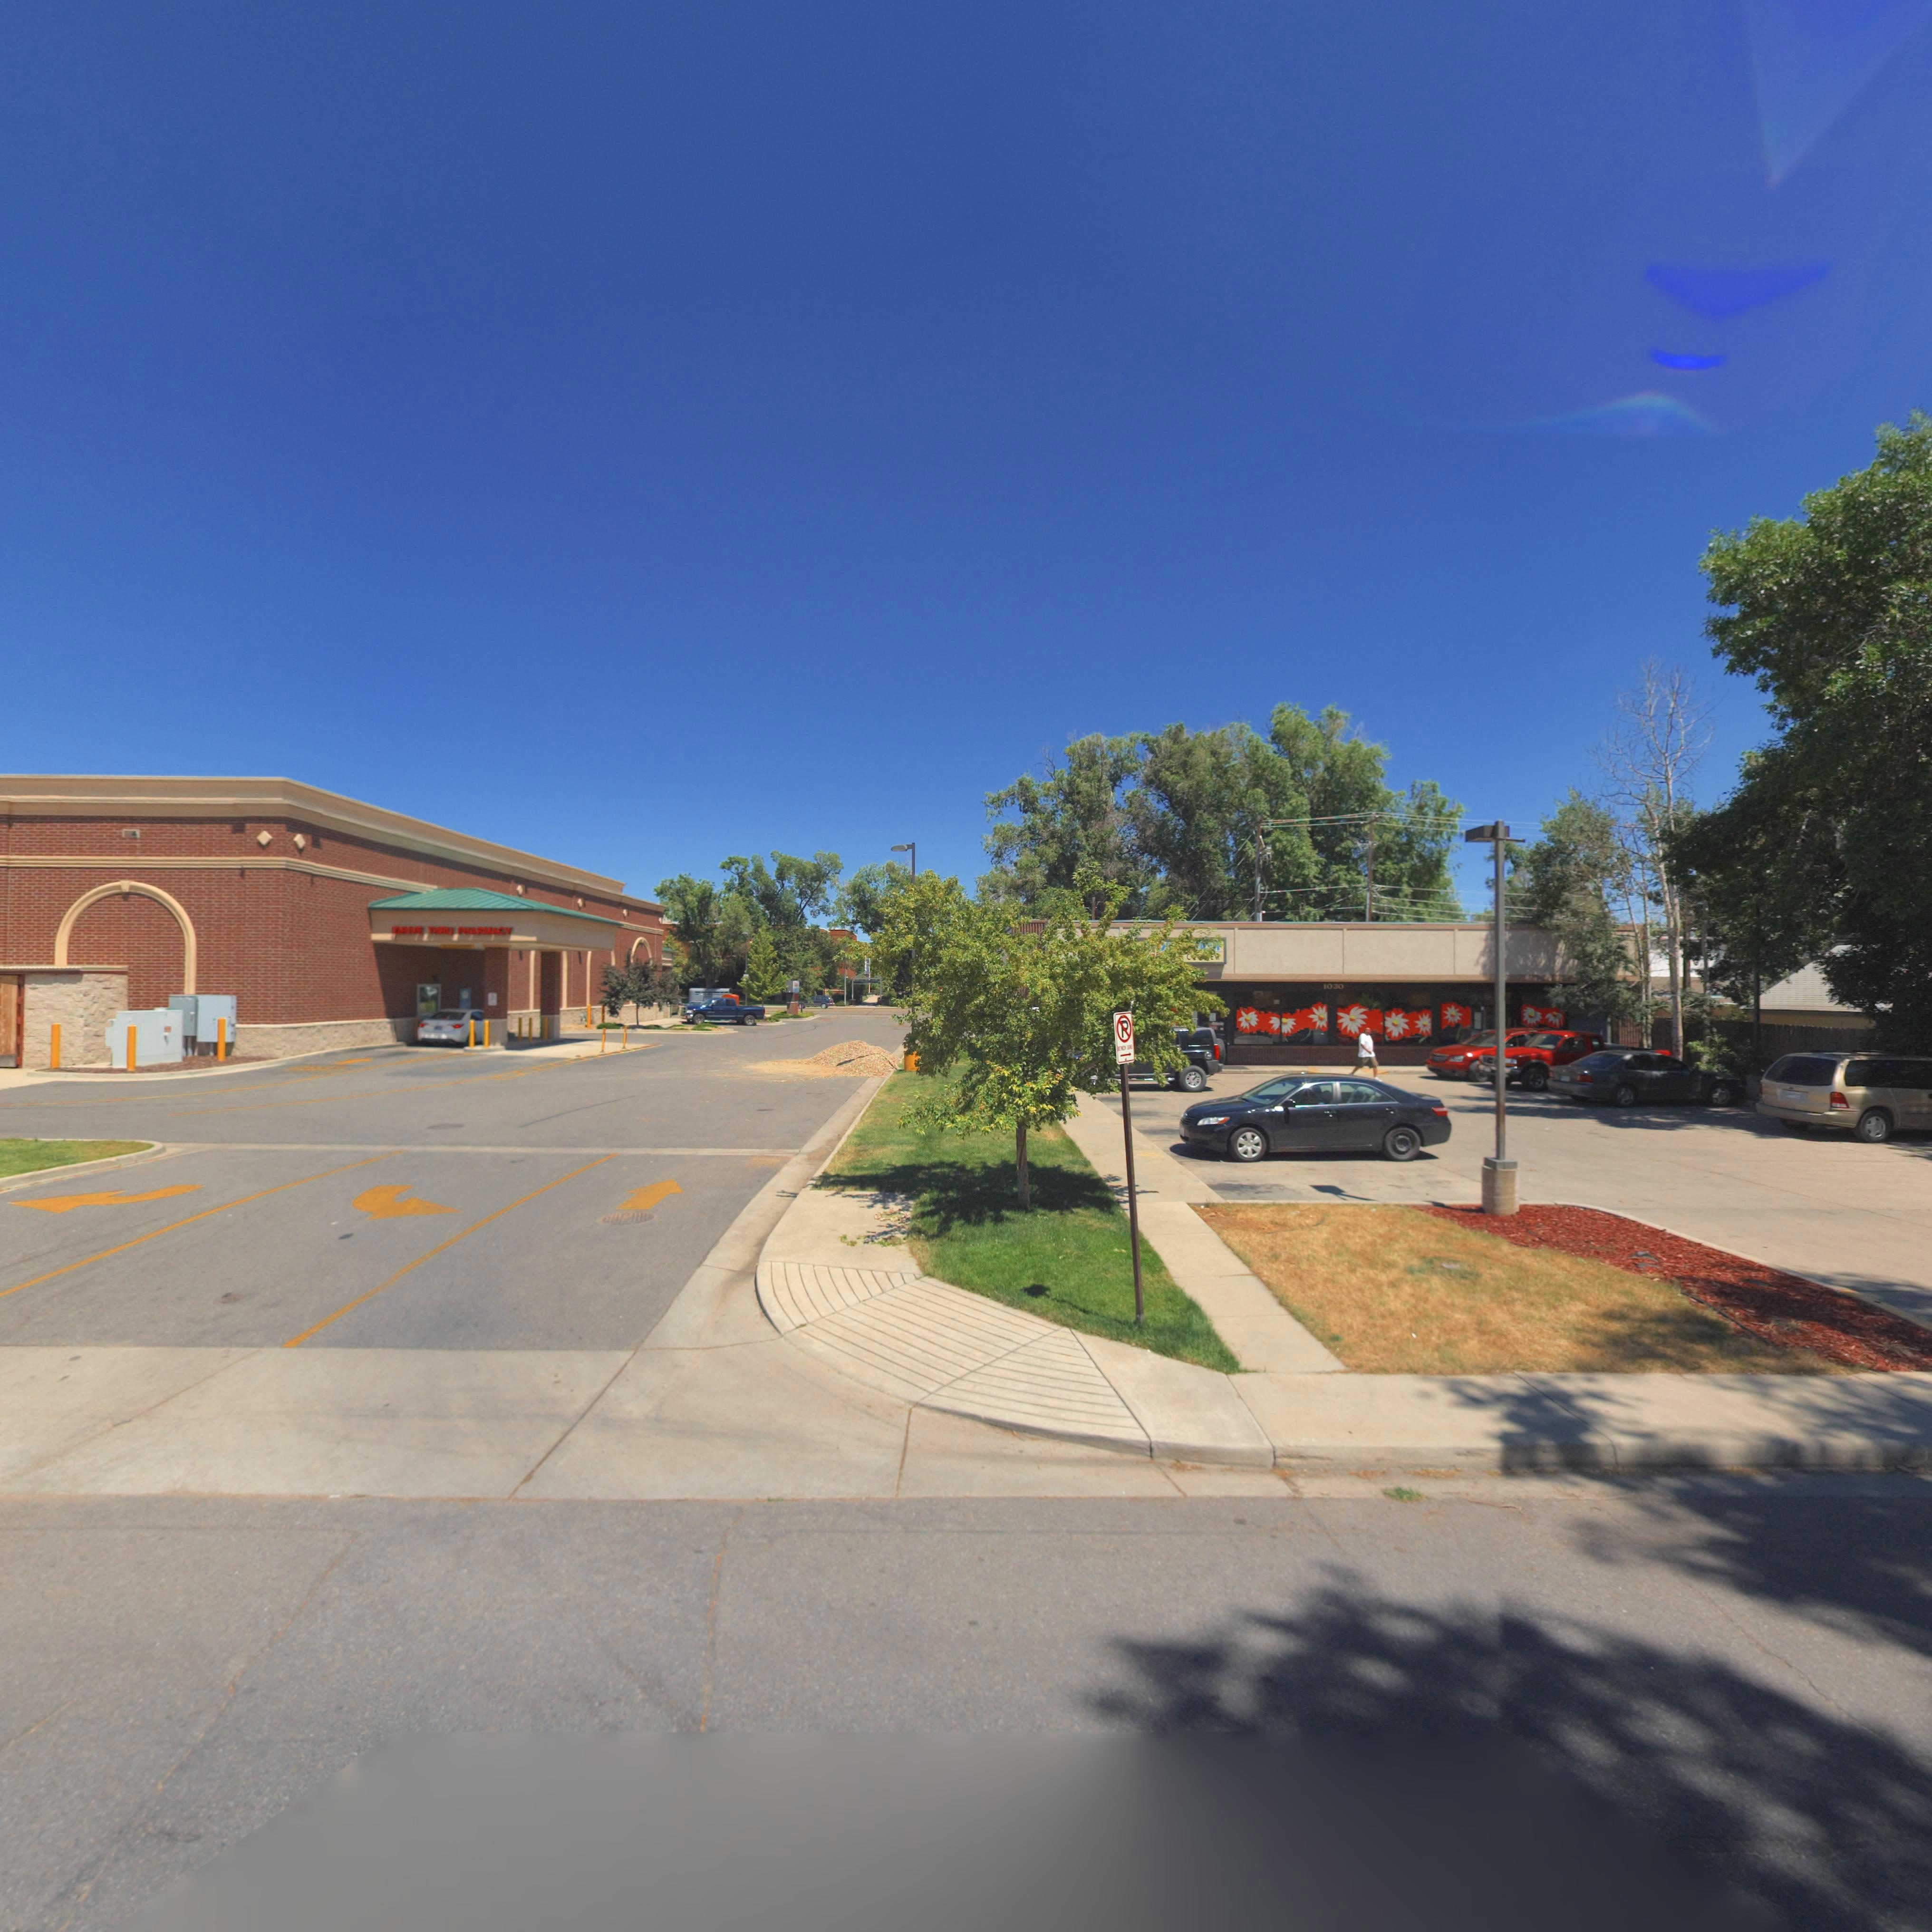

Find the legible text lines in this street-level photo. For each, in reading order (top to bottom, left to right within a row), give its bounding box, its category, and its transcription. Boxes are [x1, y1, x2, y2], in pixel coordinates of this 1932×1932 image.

[1323, 983, 1344, 989] StreetNumber: 1030